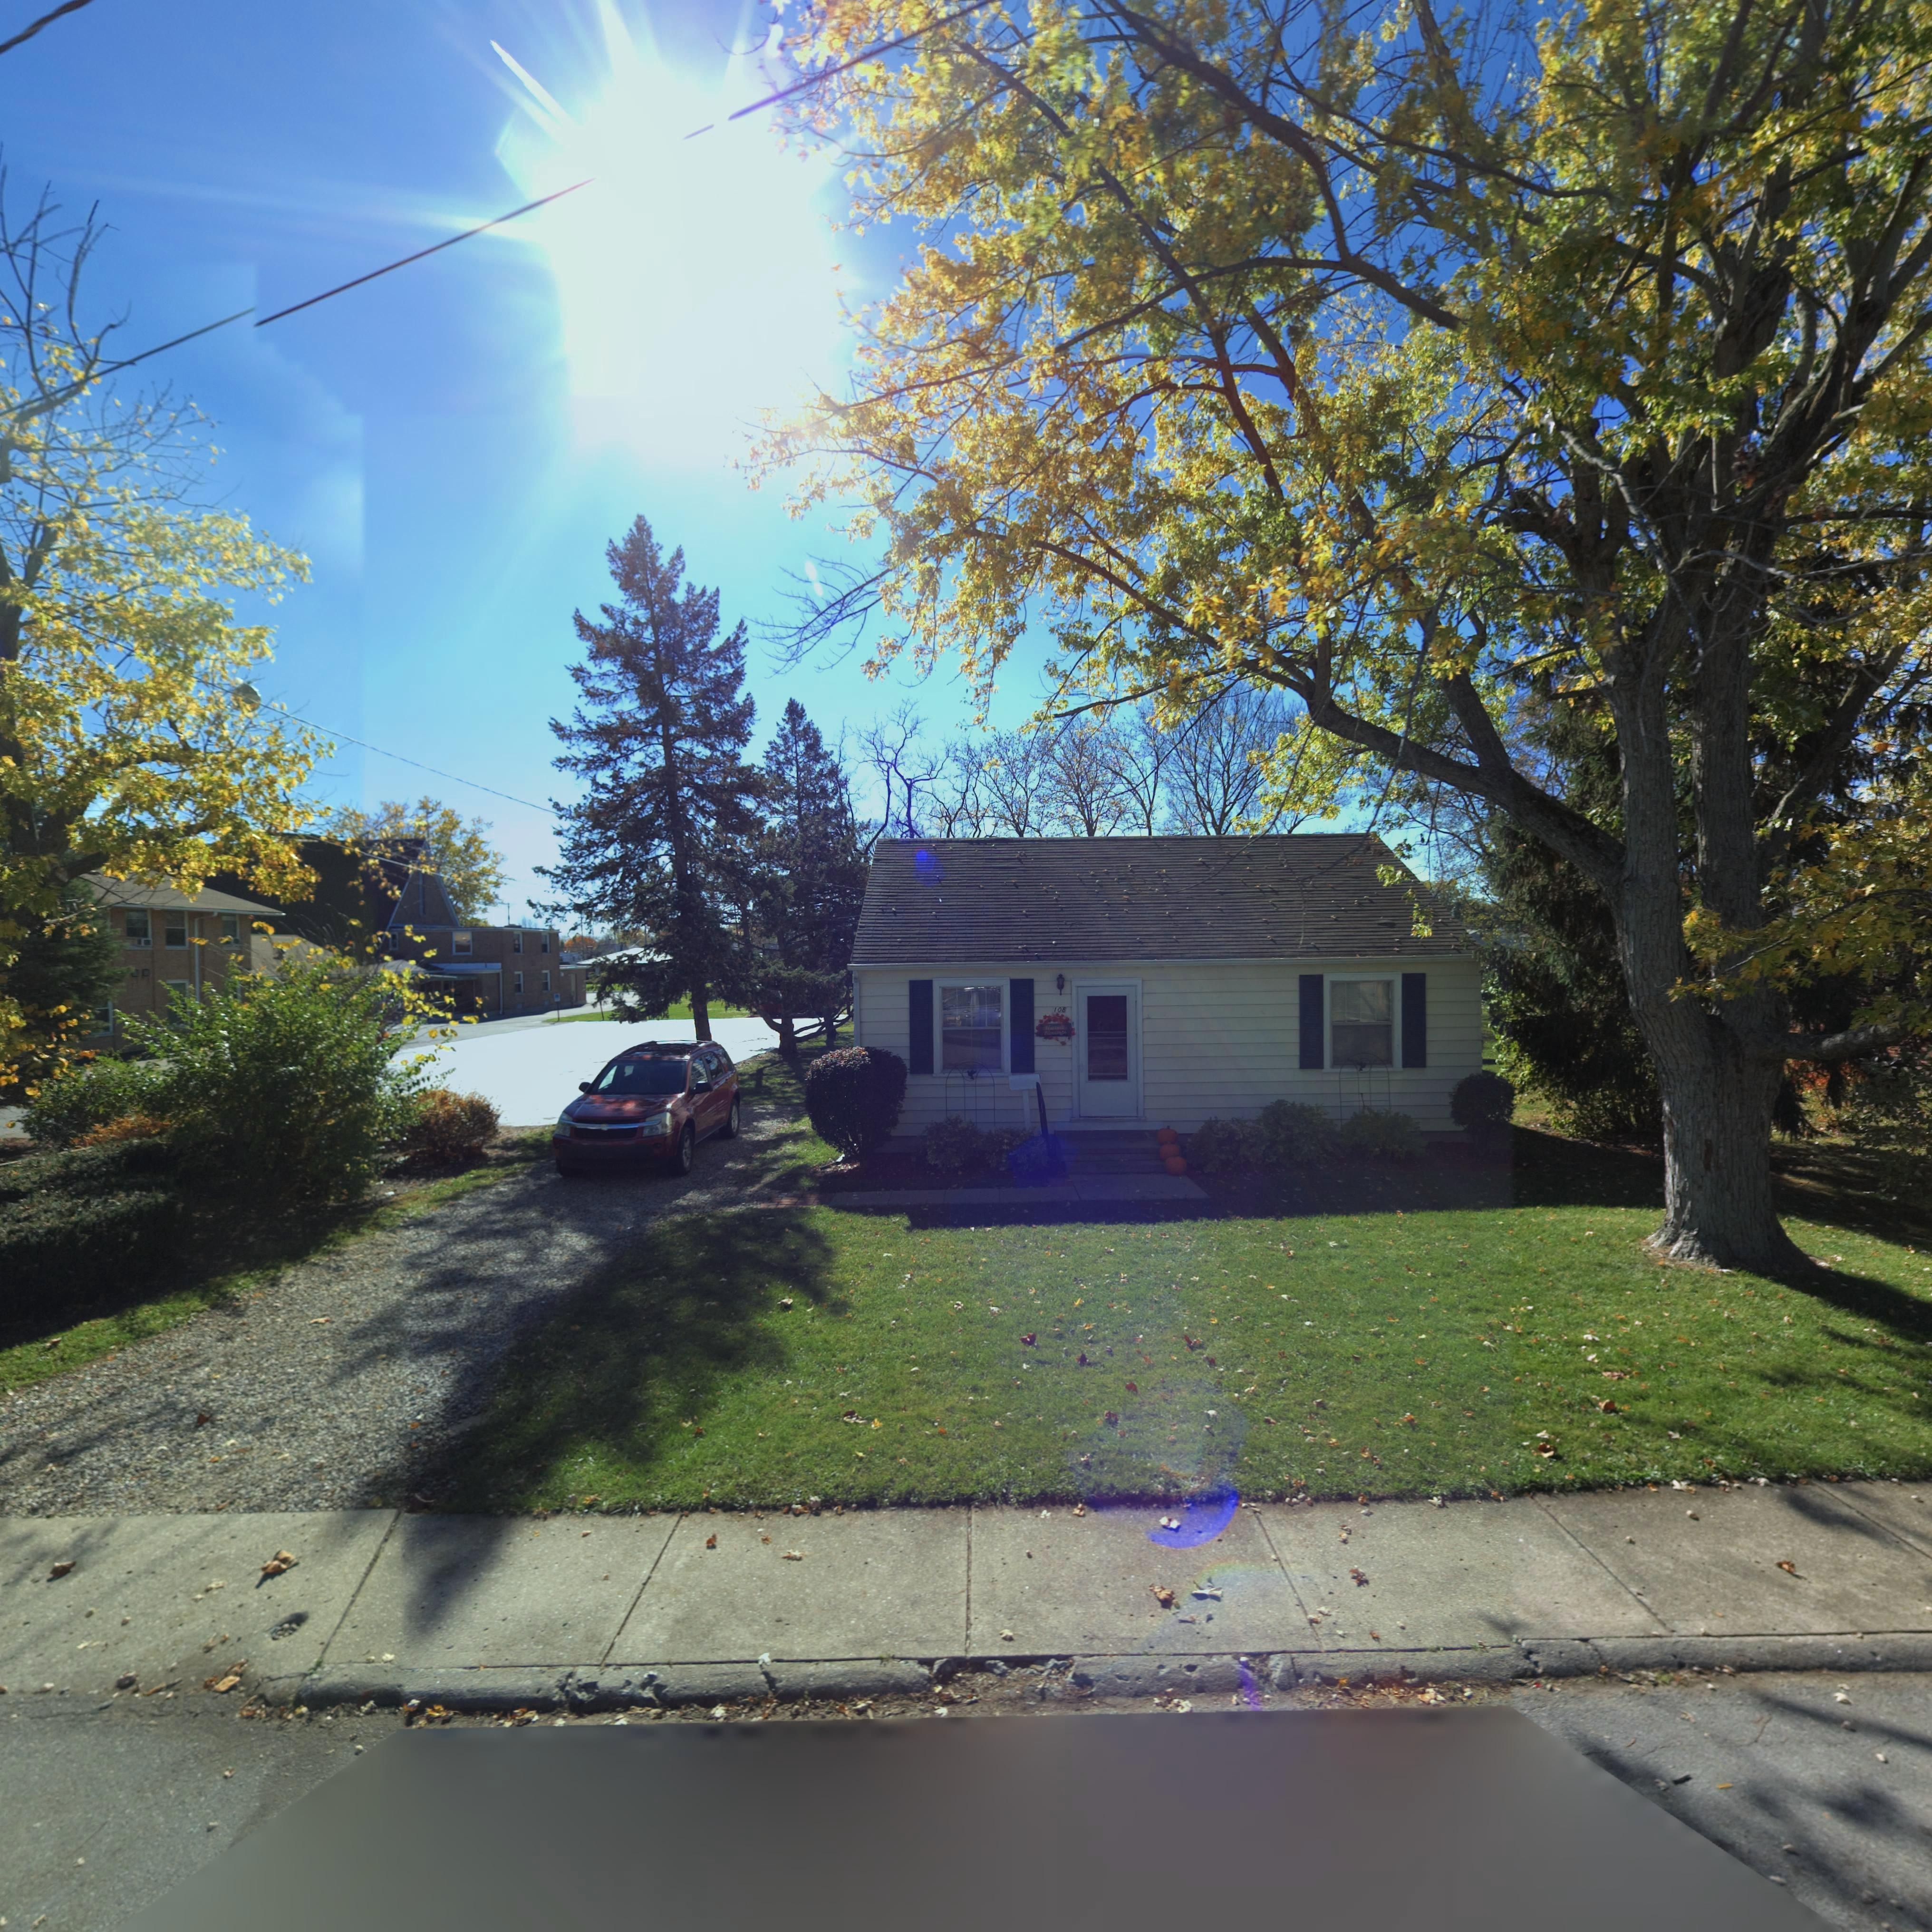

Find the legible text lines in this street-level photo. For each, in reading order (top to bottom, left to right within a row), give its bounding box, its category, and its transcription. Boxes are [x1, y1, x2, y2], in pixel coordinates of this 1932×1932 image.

[1053, 1006, 1067, 1013] StreetNumber: 108